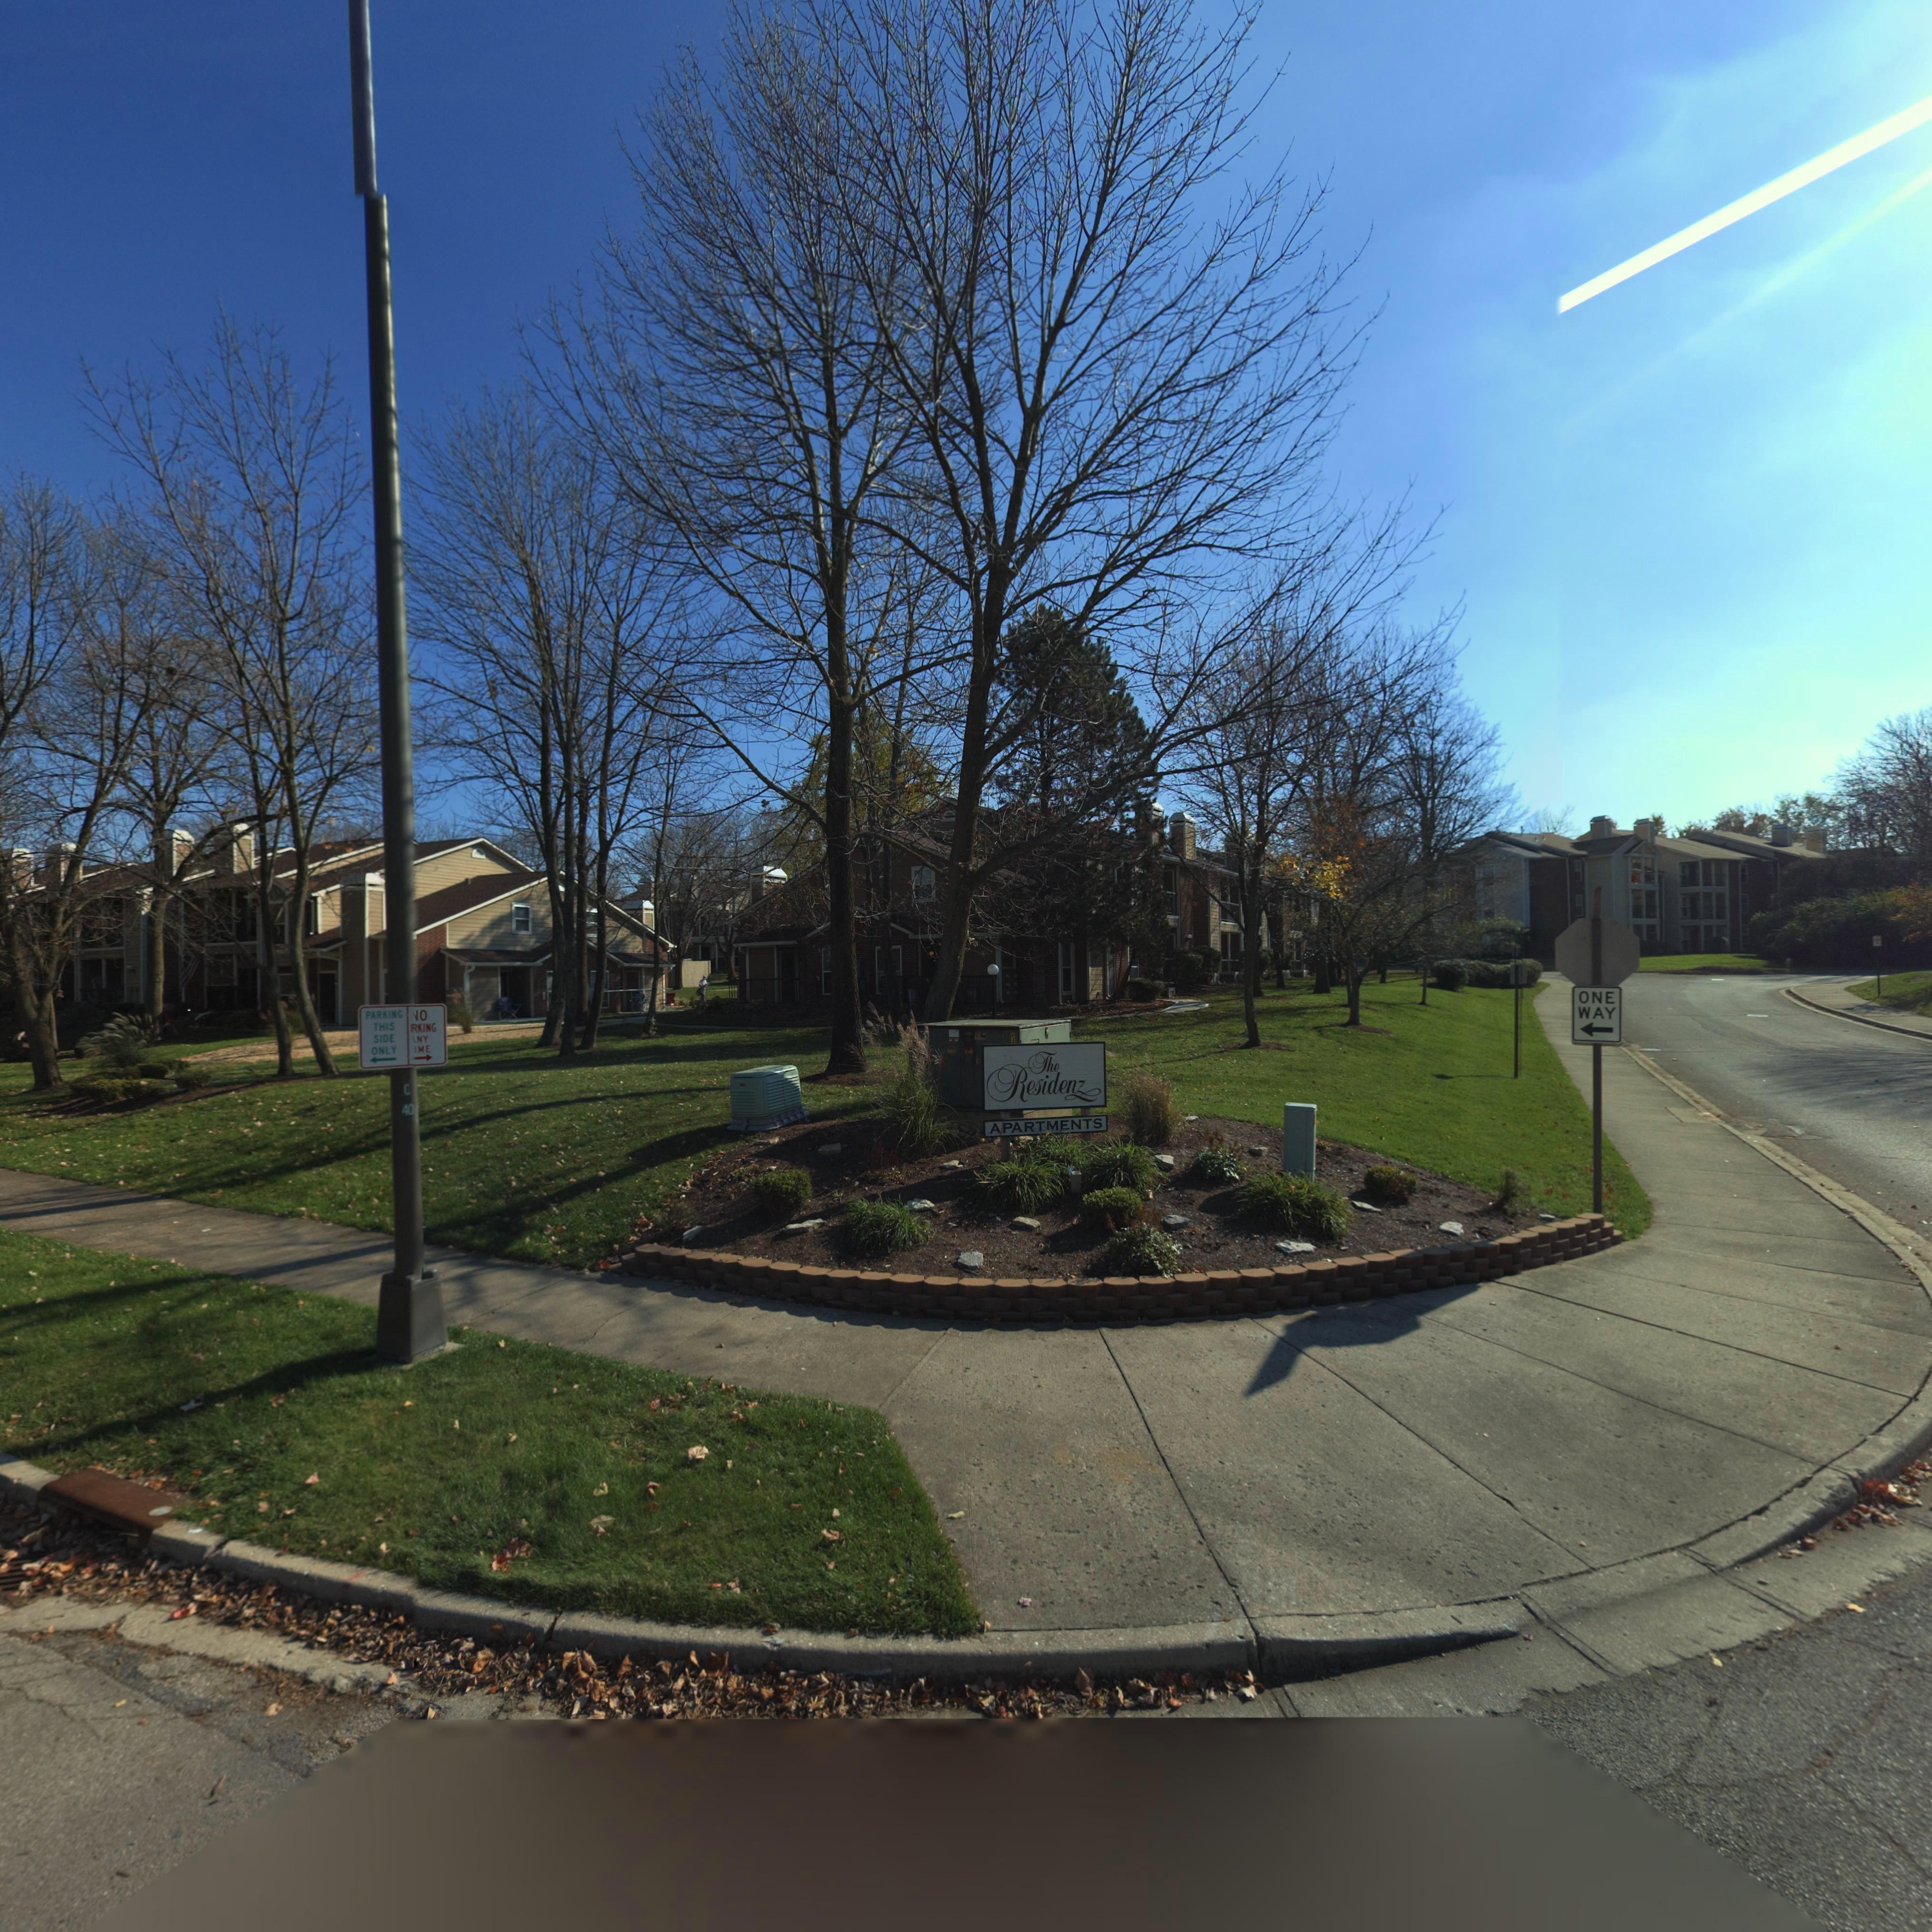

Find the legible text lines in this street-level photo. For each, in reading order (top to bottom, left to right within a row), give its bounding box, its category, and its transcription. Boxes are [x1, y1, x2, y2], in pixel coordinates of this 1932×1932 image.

[1578, 991, 1615, 1005] None: ONE
[364, 1010, 403, 1020] None: PARKING
[419, 1009, 428, 1022] None: O
[1577, 1005, 1617, 1020] None: WAY
[372, 1022, 395, 1031] None: THIS
[417, 1023, 437, 1034] None: KING
[373, 1034, 395, 1043] None: SIDE
[416, 1034, 429, 1043] None: NY
[371, 1045, 398, 1056] None: ONLY
[414, 1044, 431, 1054] None: IME
[1027, 1050, 1061, 1074] BusinessName: The
[403, 1083, 412, 1095] None: C
[985, 1063, 1104, 1106] BusinessName: Residenz
[401, 1103, 414, 1117] None: 40
[989, 1117, 1103, 1135] None: APARTMENTS